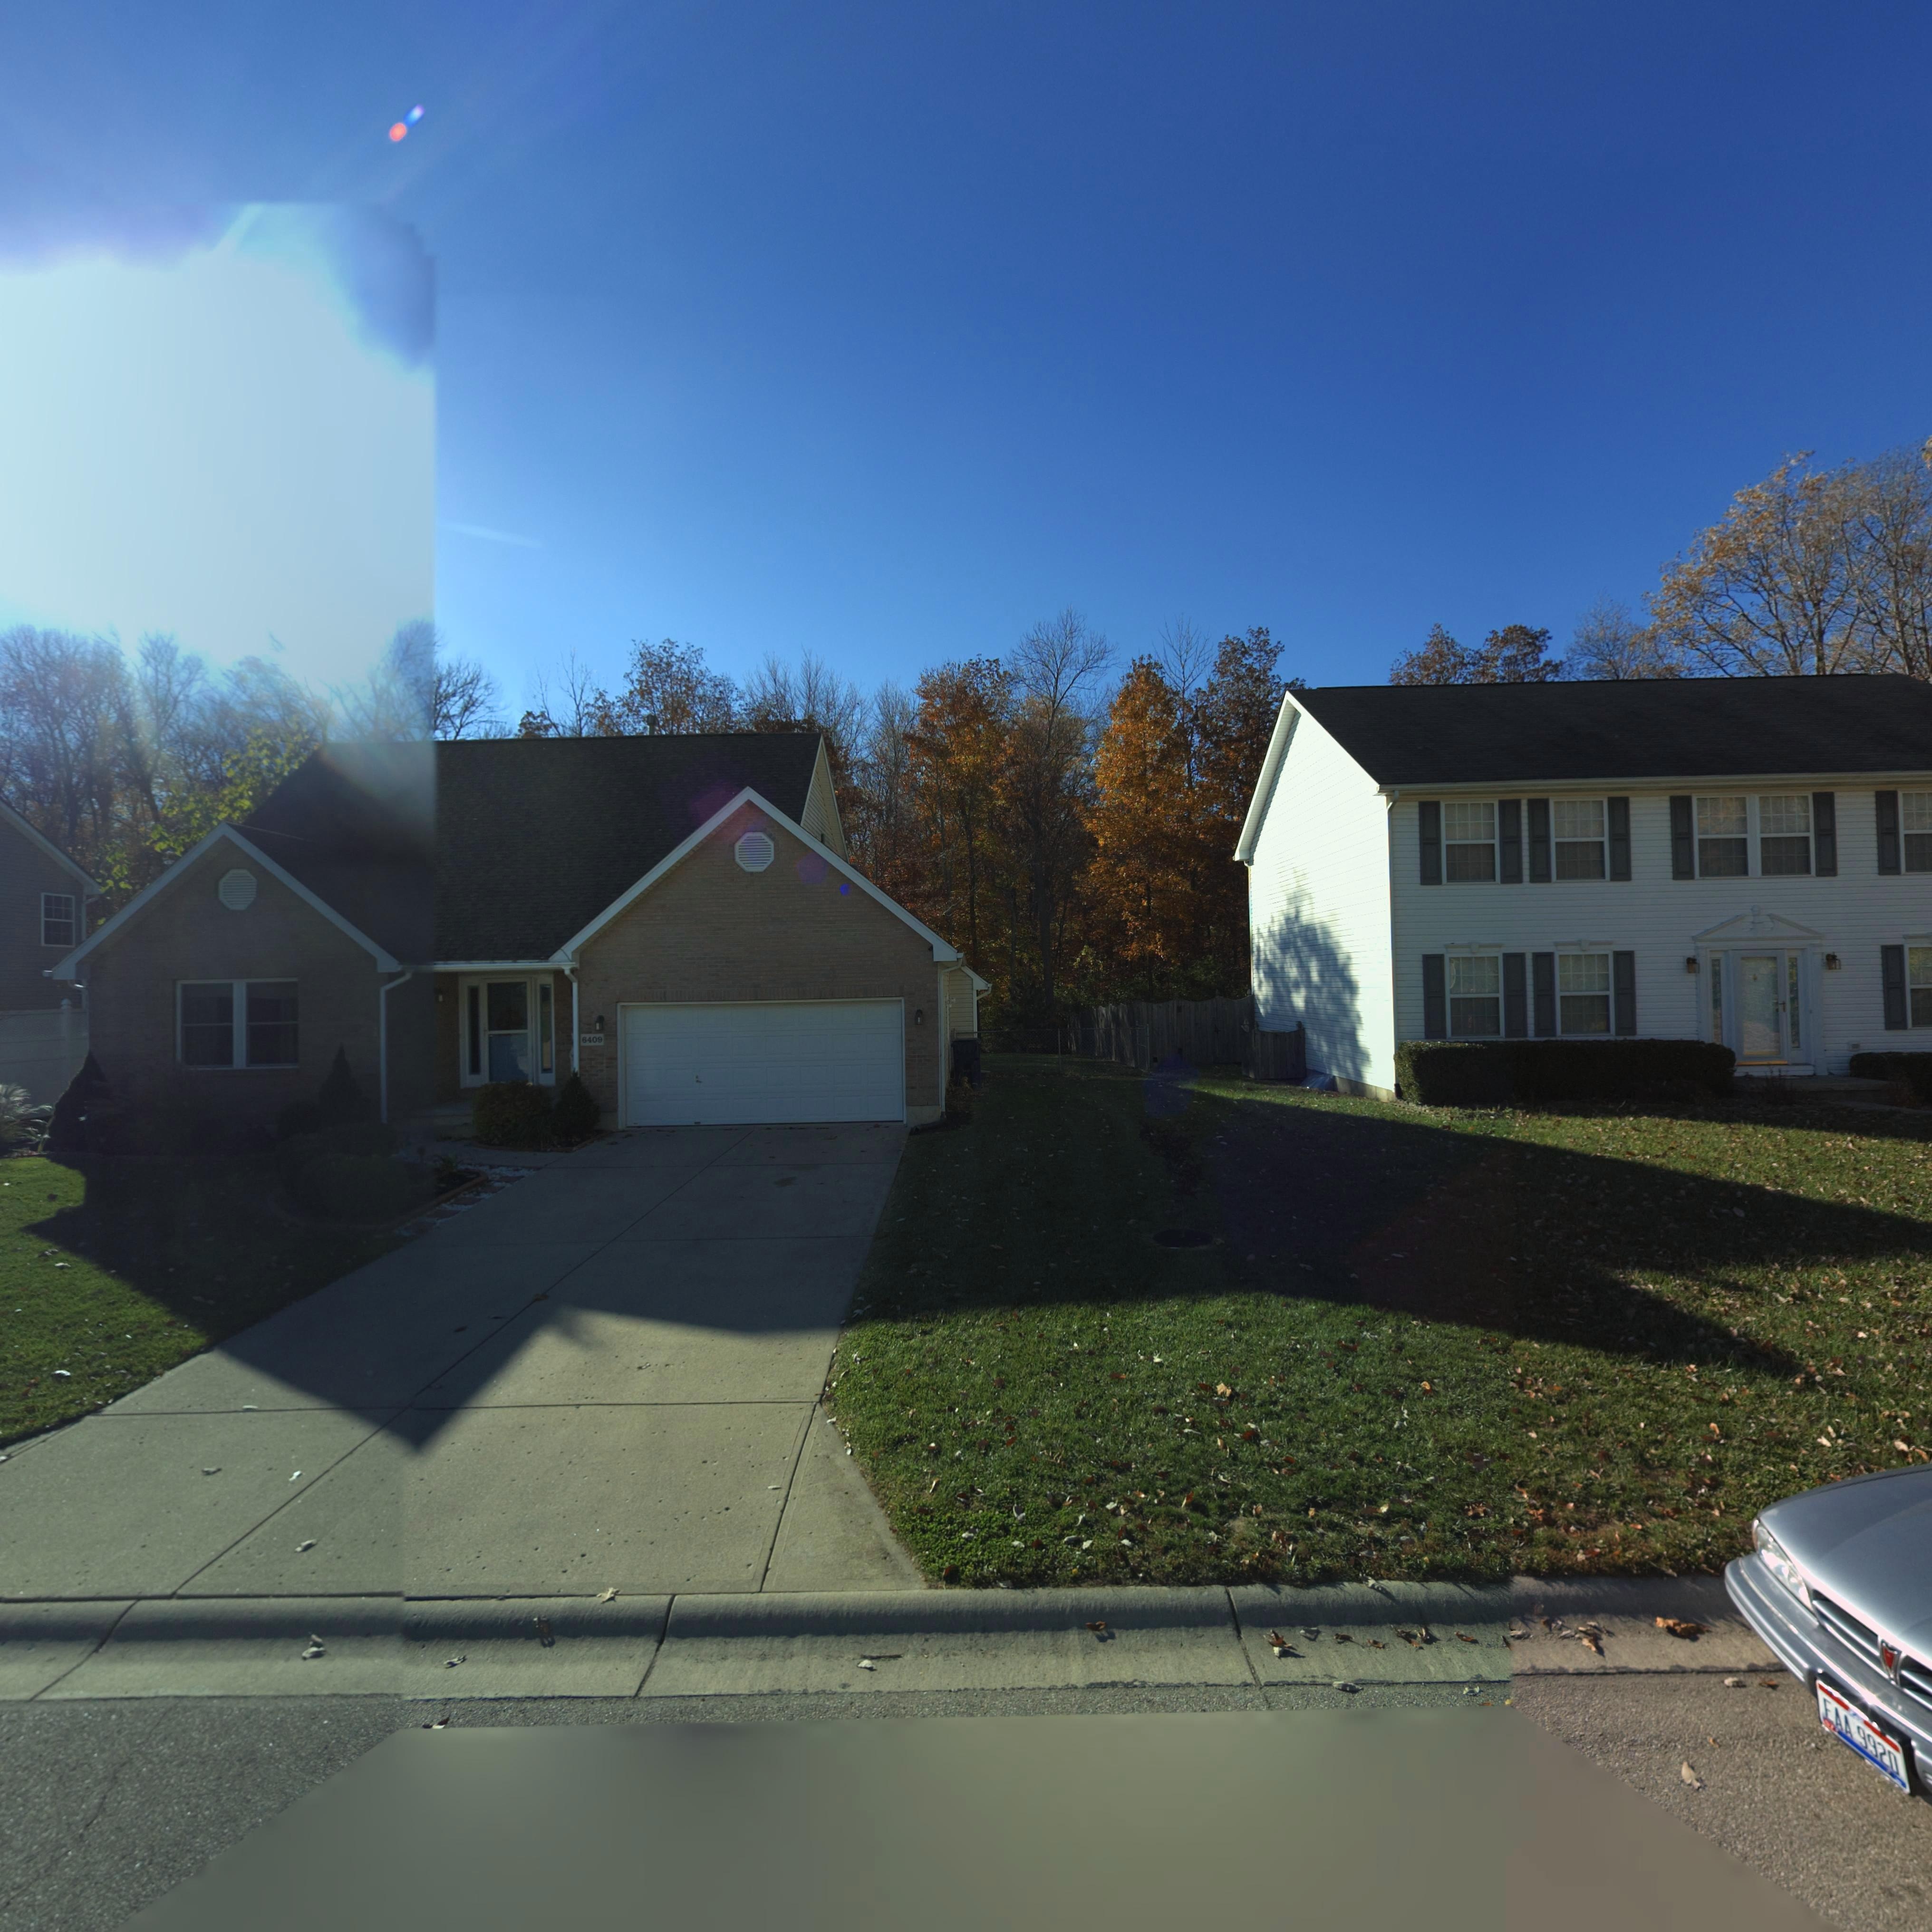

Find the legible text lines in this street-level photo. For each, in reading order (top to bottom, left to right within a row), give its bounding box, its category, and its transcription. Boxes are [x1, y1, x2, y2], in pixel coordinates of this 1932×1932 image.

[581, 1035, 604, 1044] StreetNumber: 6409
[1823, 1696, 1900, 1778] None: EAA 9920